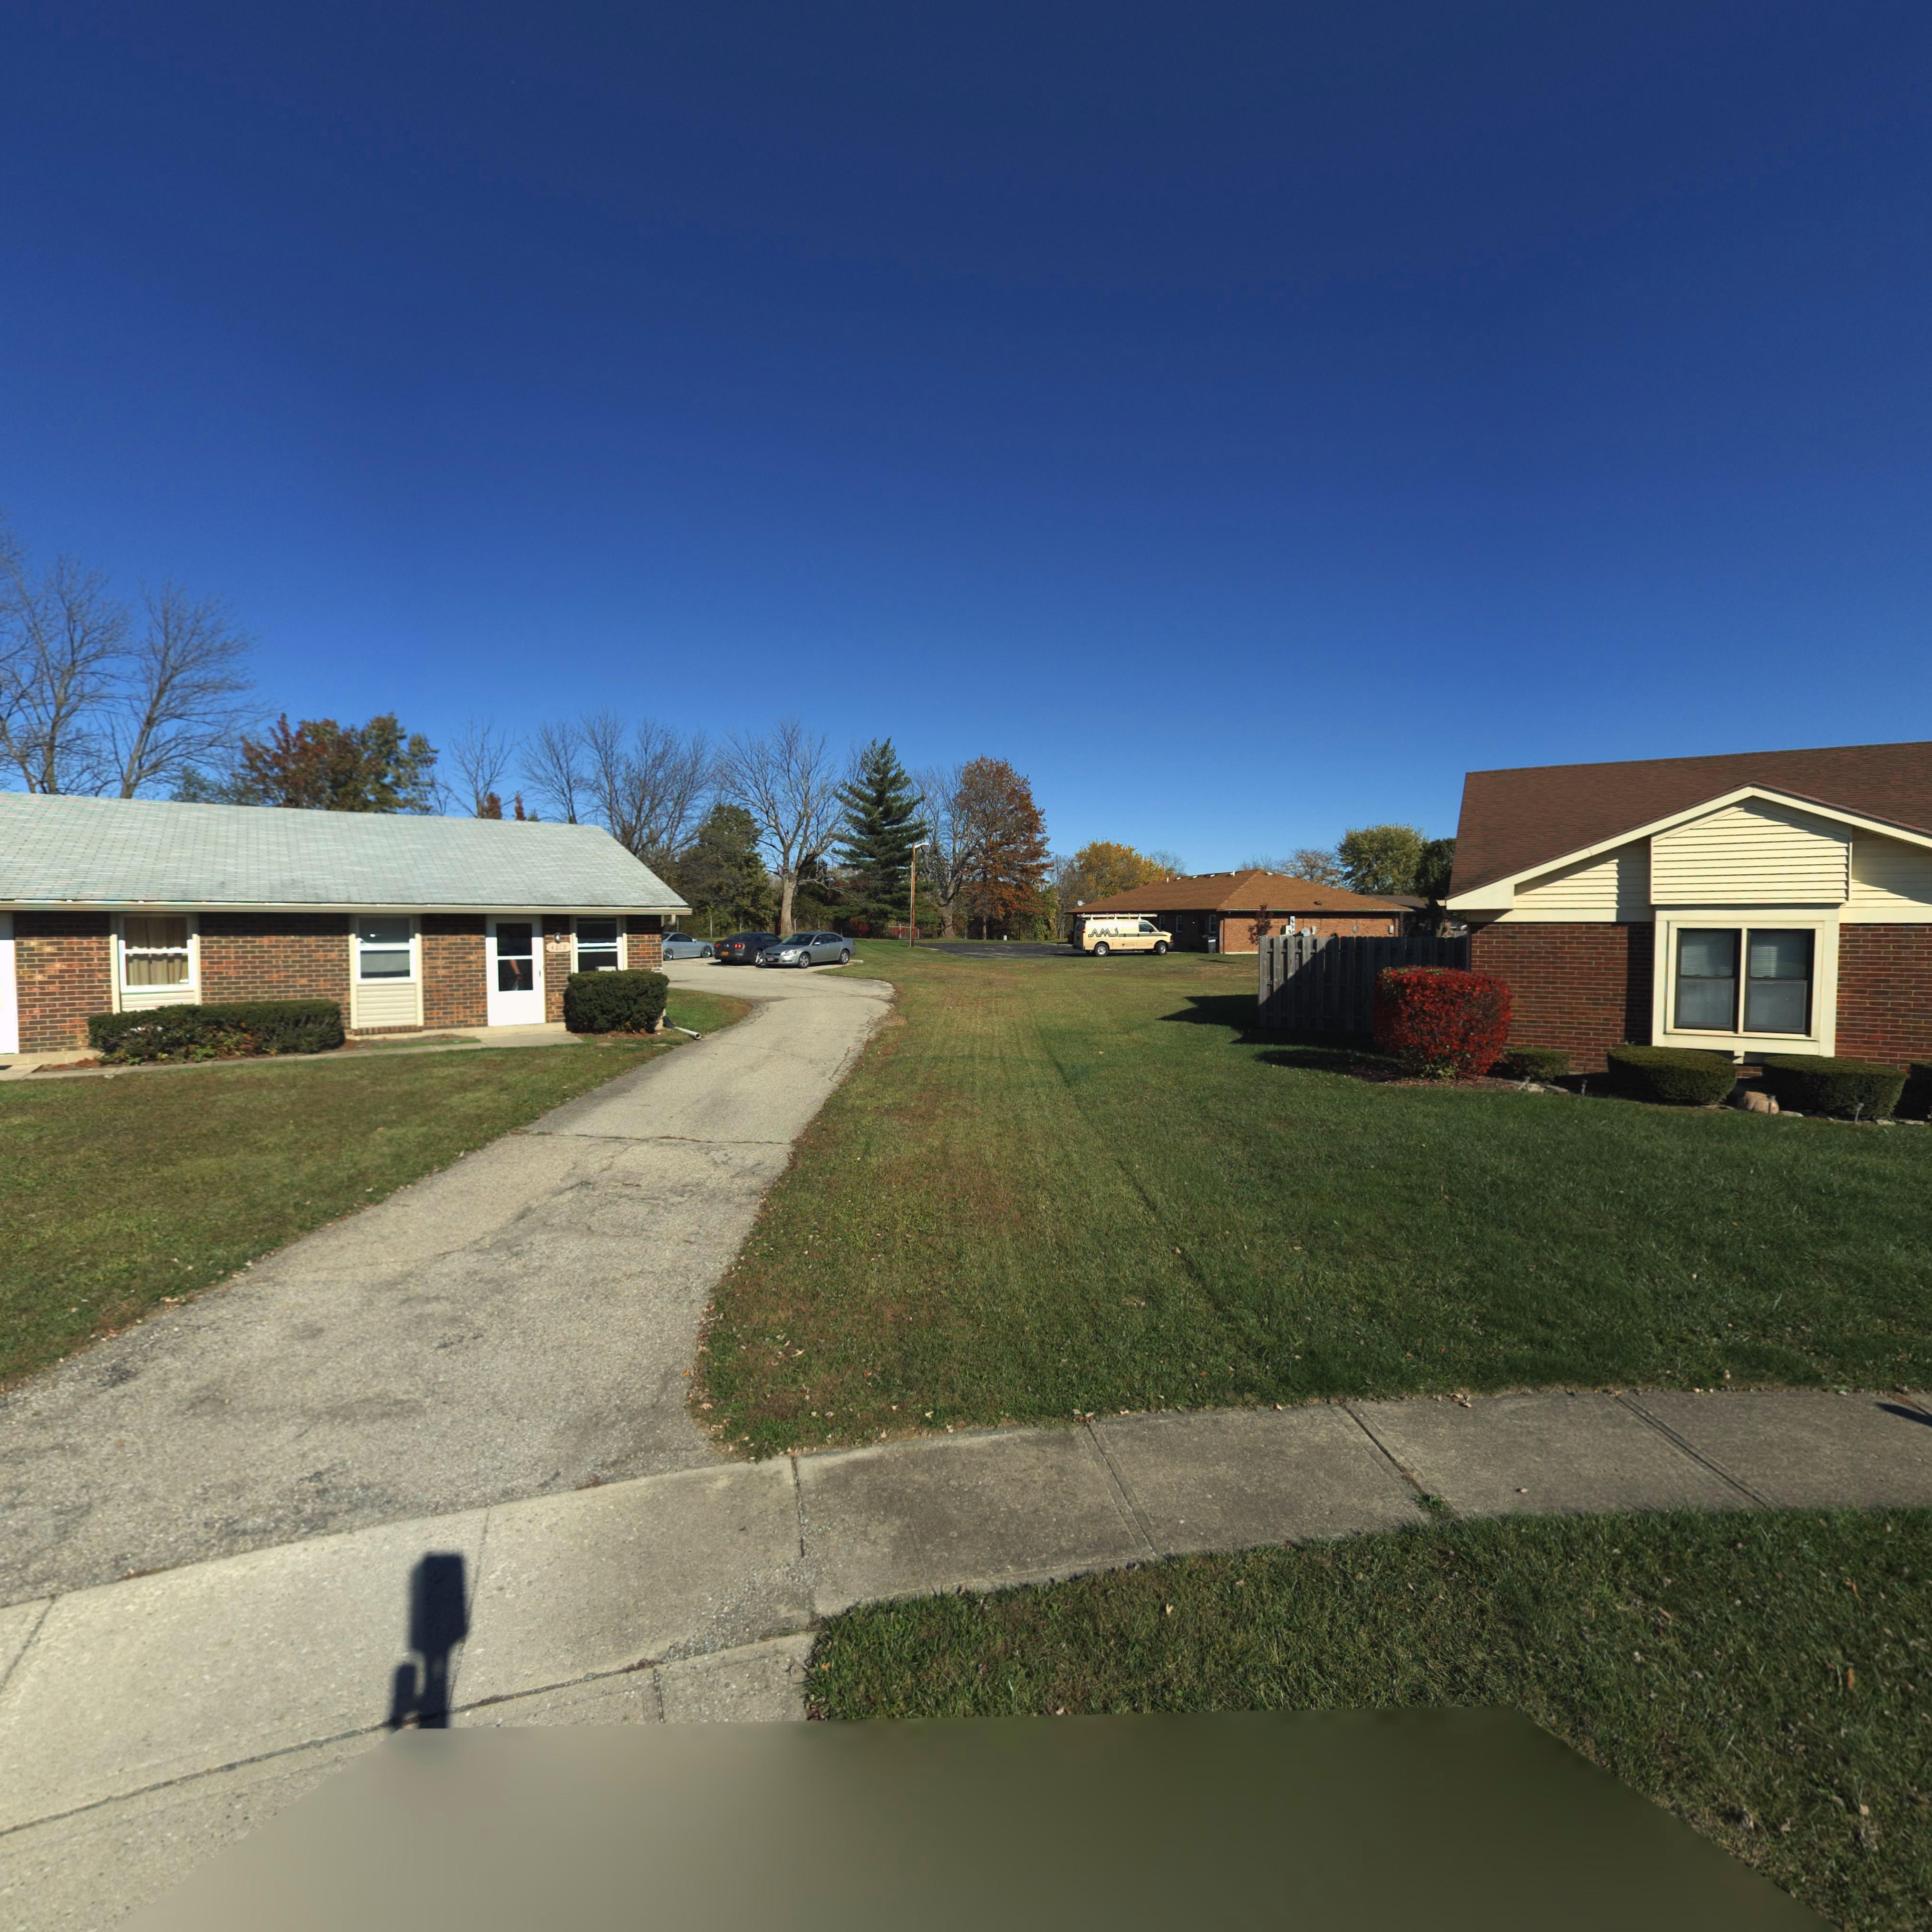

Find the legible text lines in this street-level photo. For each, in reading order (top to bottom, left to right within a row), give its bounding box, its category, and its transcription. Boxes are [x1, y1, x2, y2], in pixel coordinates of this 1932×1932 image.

[549, 944, 568, 950] StreetNumber: 4019